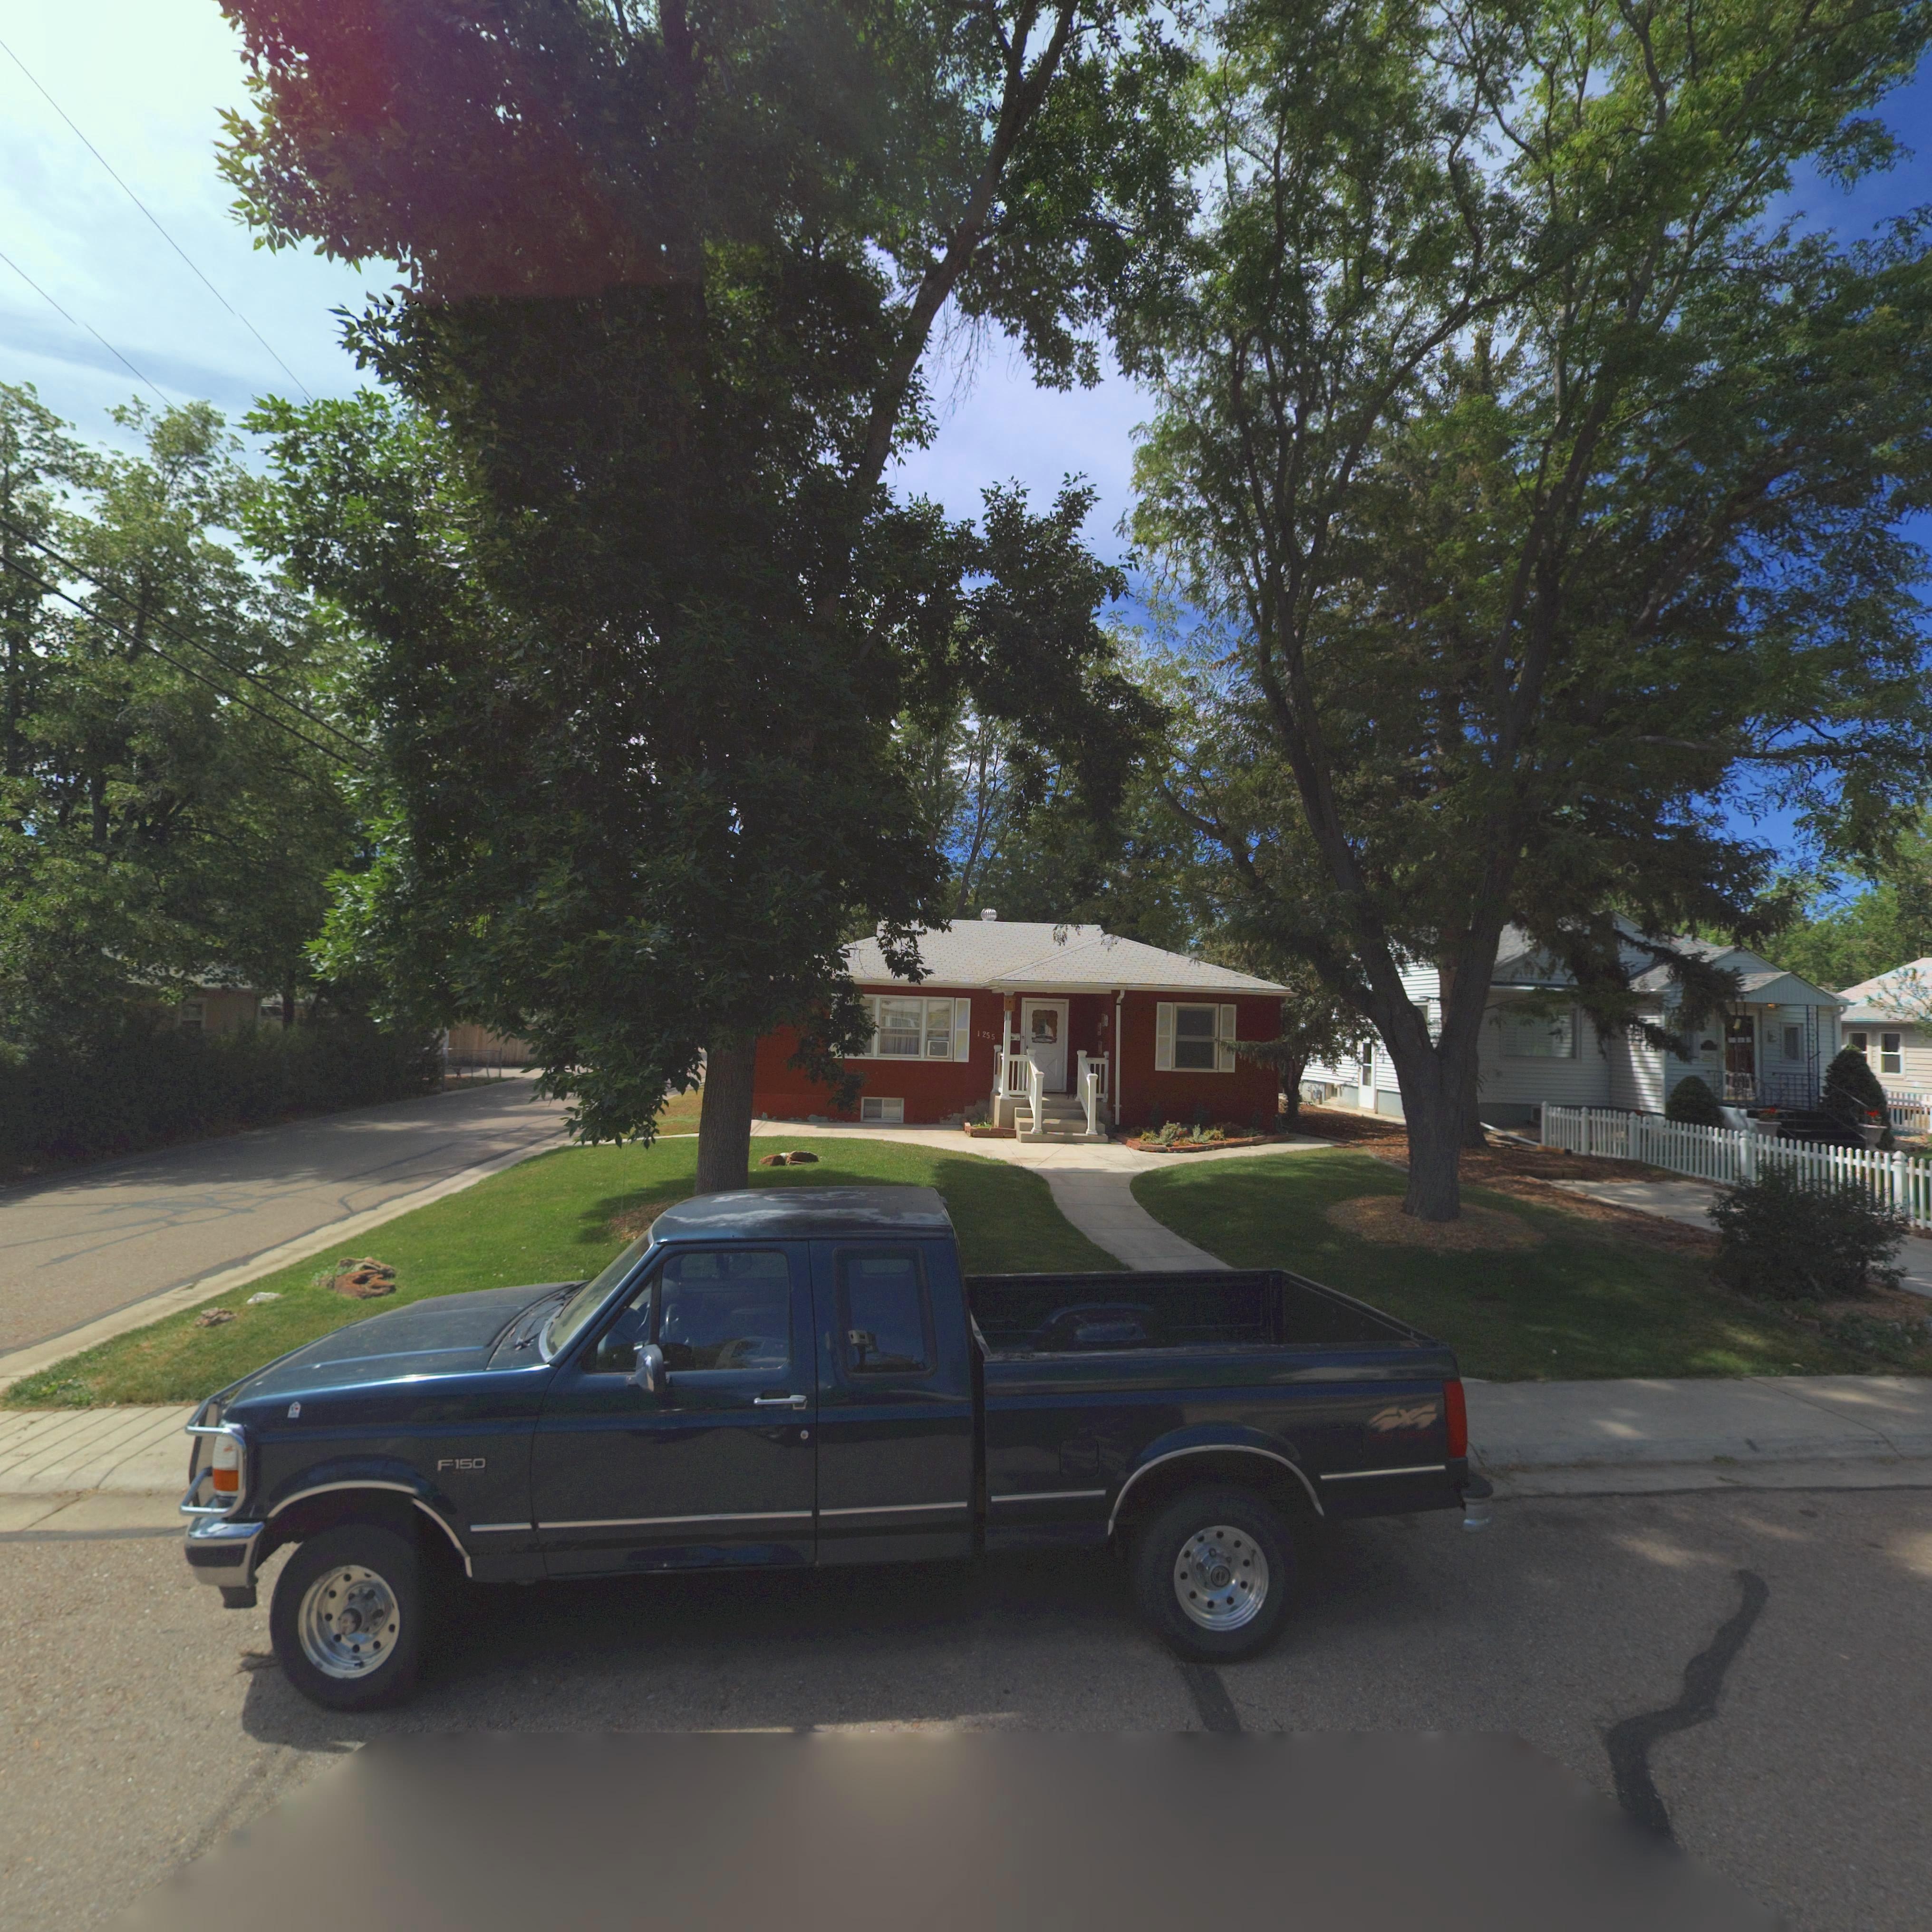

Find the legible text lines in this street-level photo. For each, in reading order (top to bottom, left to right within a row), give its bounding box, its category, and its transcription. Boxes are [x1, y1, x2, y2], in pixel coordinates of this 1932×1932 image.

[976, 1030, 995, 1040] StreetNumber: 1255